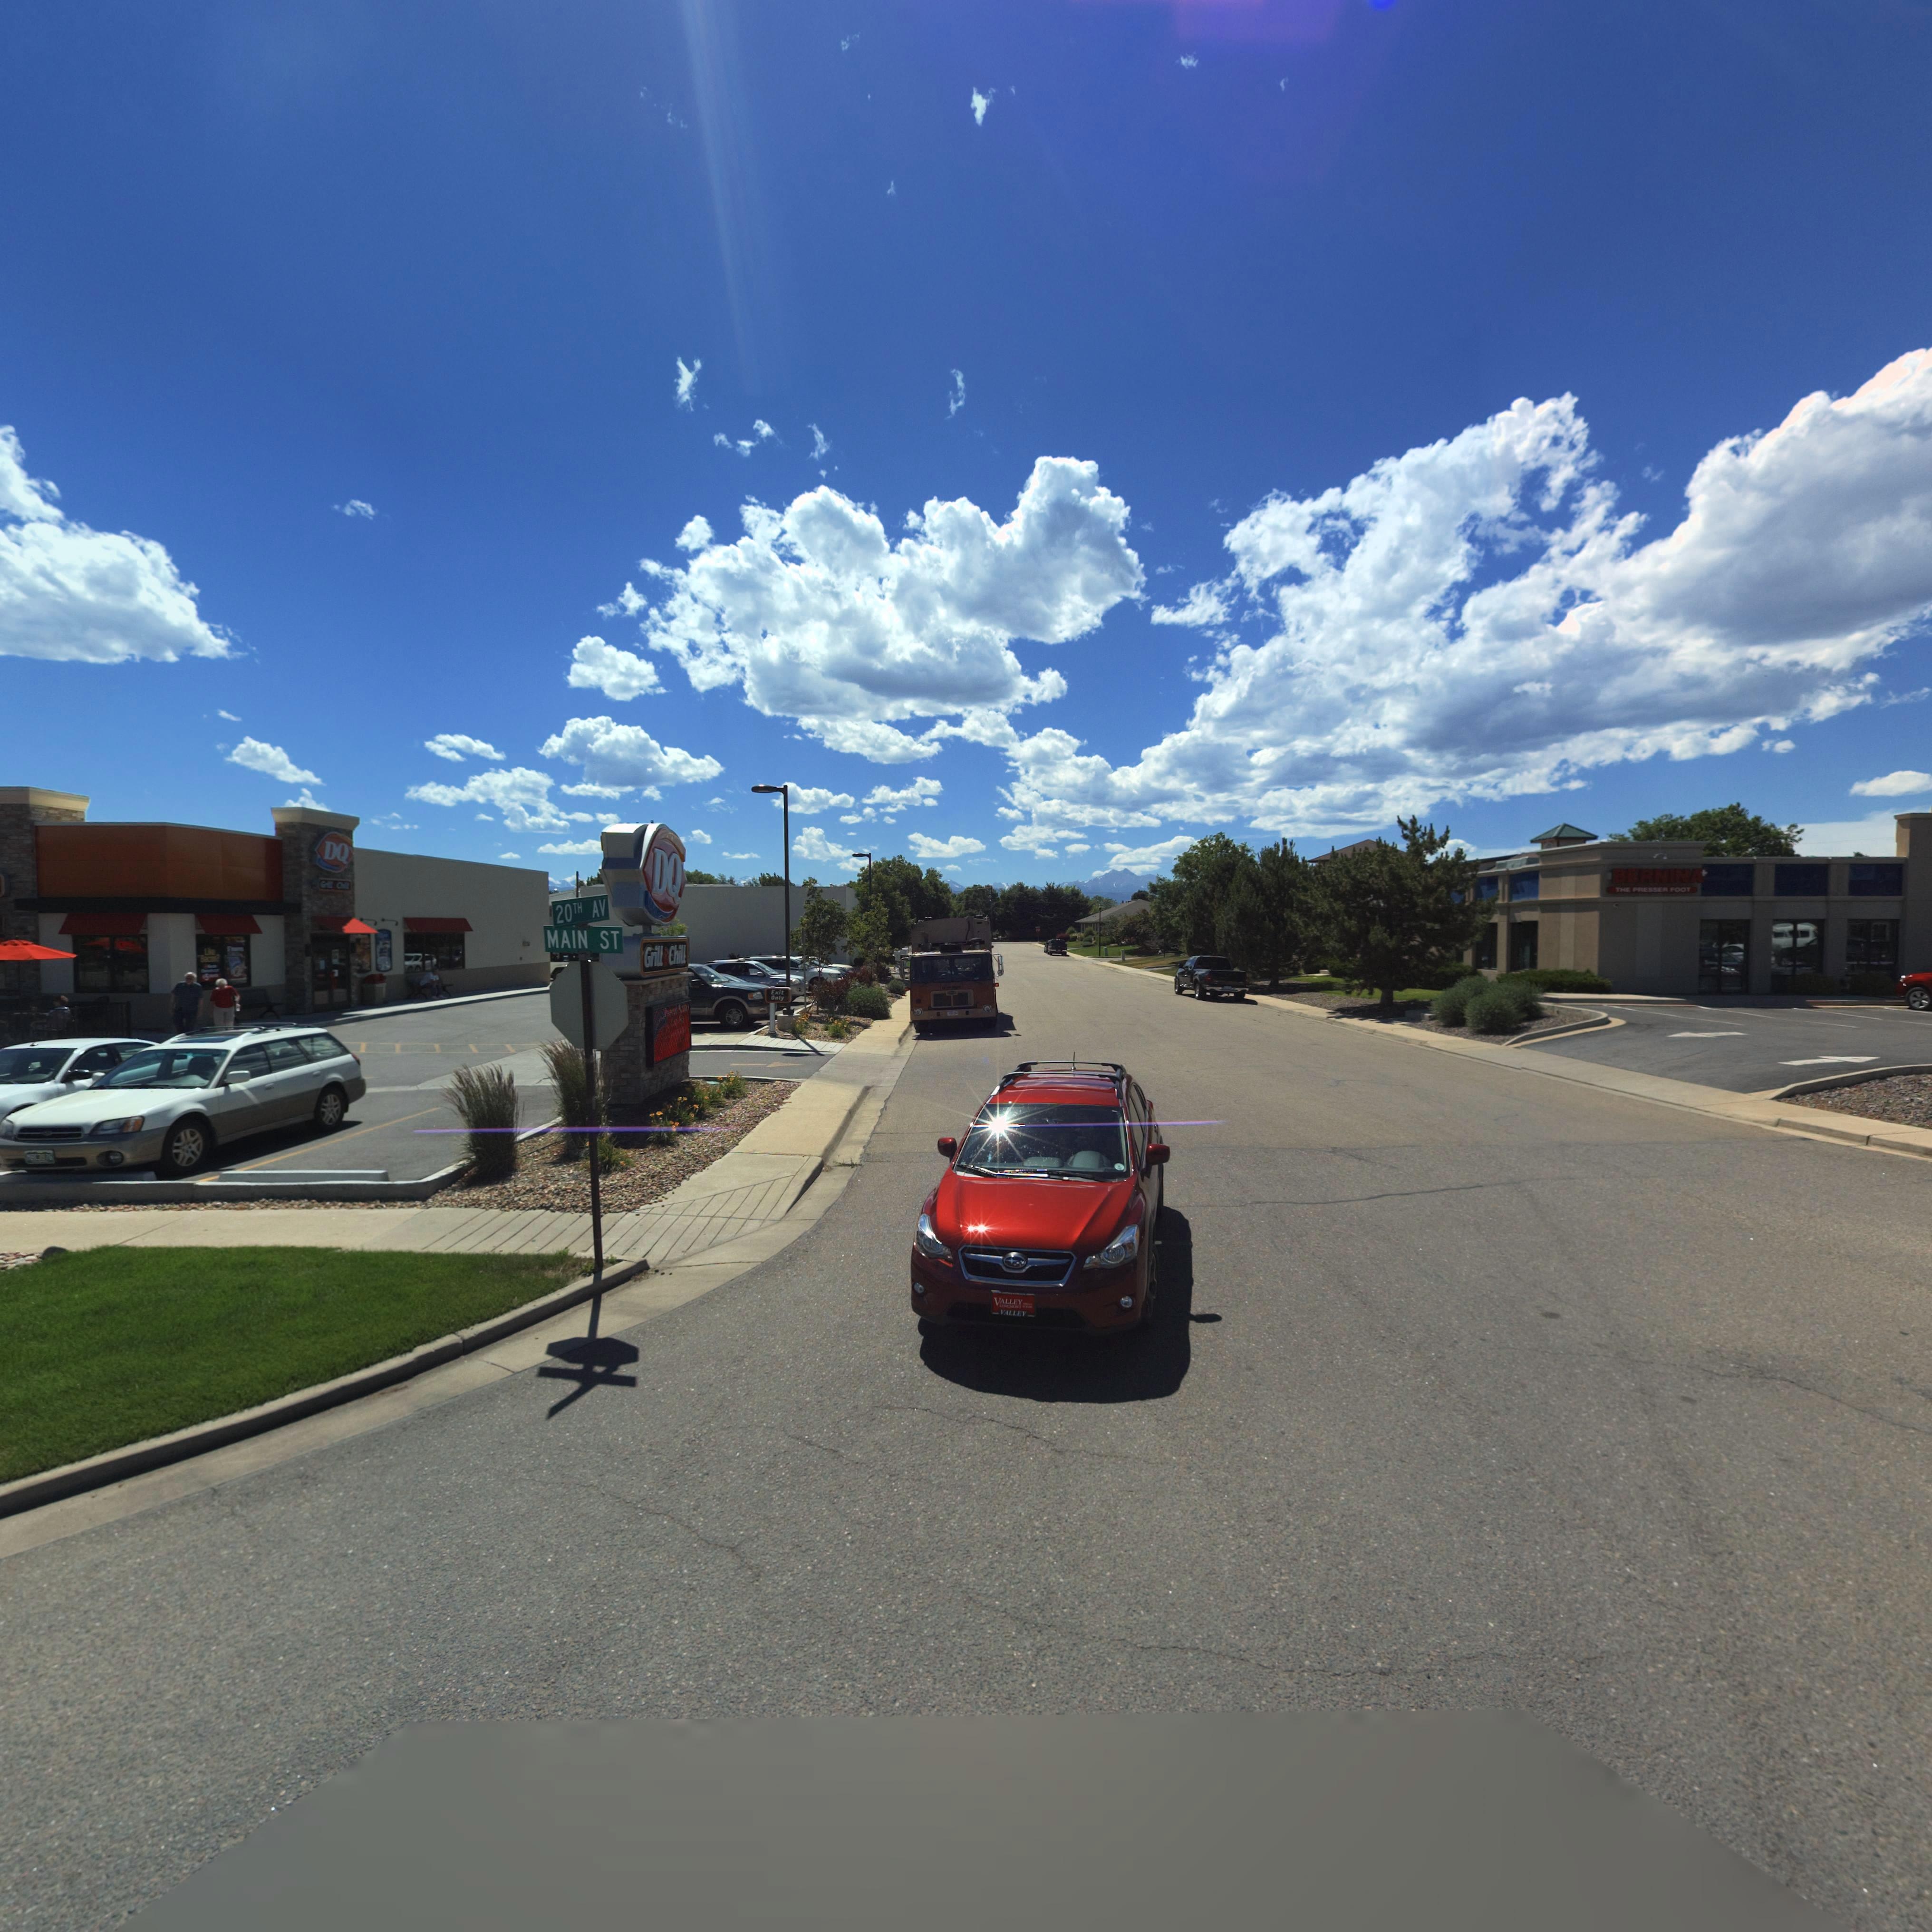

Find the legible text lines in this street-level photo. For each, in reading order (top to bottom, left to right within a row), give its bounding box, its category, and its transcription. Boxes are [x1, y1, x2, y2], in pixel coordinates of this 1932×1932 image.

[323, 840, 349, 864] BusinessName: DQ
[651, 847, 682, 905] BusinessName: DQ
[1613, 867, 1705, 884] BusinessName: BERNINA
[1614, 887, 1691, 892] BusinessName: THE PRESSER FOOT
[555, 898, 606, 924] StreetName: 20TH AV
[546, 929, 619, 950] StreetName: MAIN ST